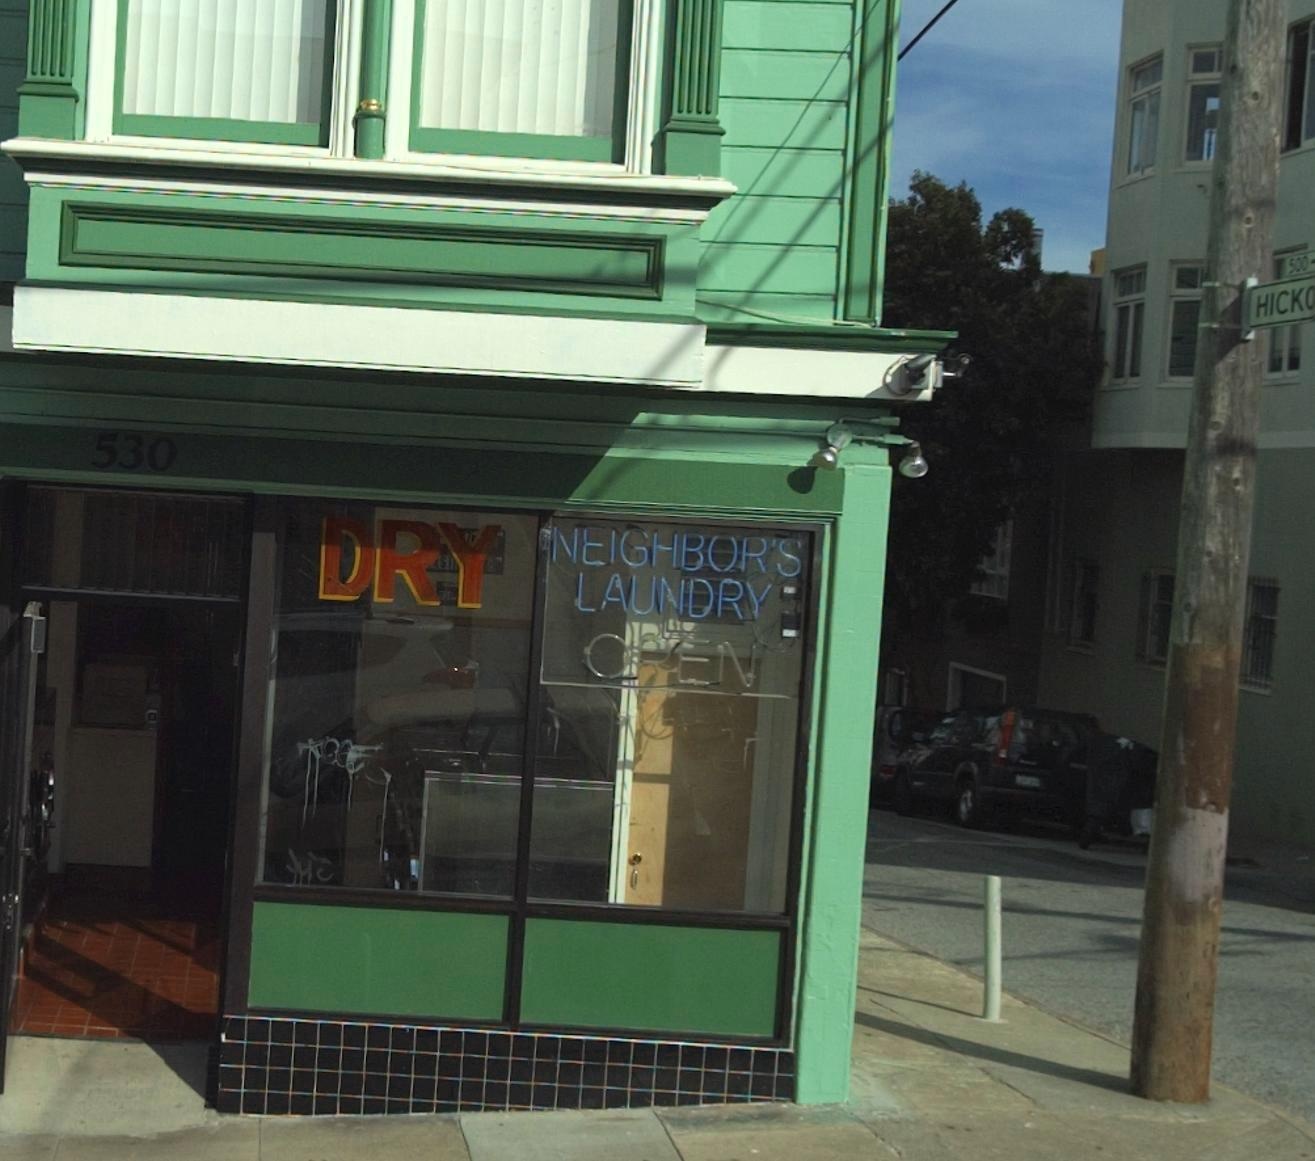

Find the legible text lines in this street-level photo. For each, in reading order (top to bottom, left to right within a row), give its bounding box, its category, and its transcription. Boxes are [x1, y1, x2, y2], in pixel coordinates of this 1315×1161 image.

[1286, 252, 1312, 277] StreetNumberRange: 500
[1254, 284, 1308, 321] StreetName: HICK
[86, 427, 181, 475] StreetNumber: 530
[320, 514, 505, 607] None: DRY
[550, 523, 805, 581] BusinessName: Neighbor's Laundry
[574, 568, 777, 625] BusinessName: LAUNDRY
[582, 630, 760, 690] None: OPEN